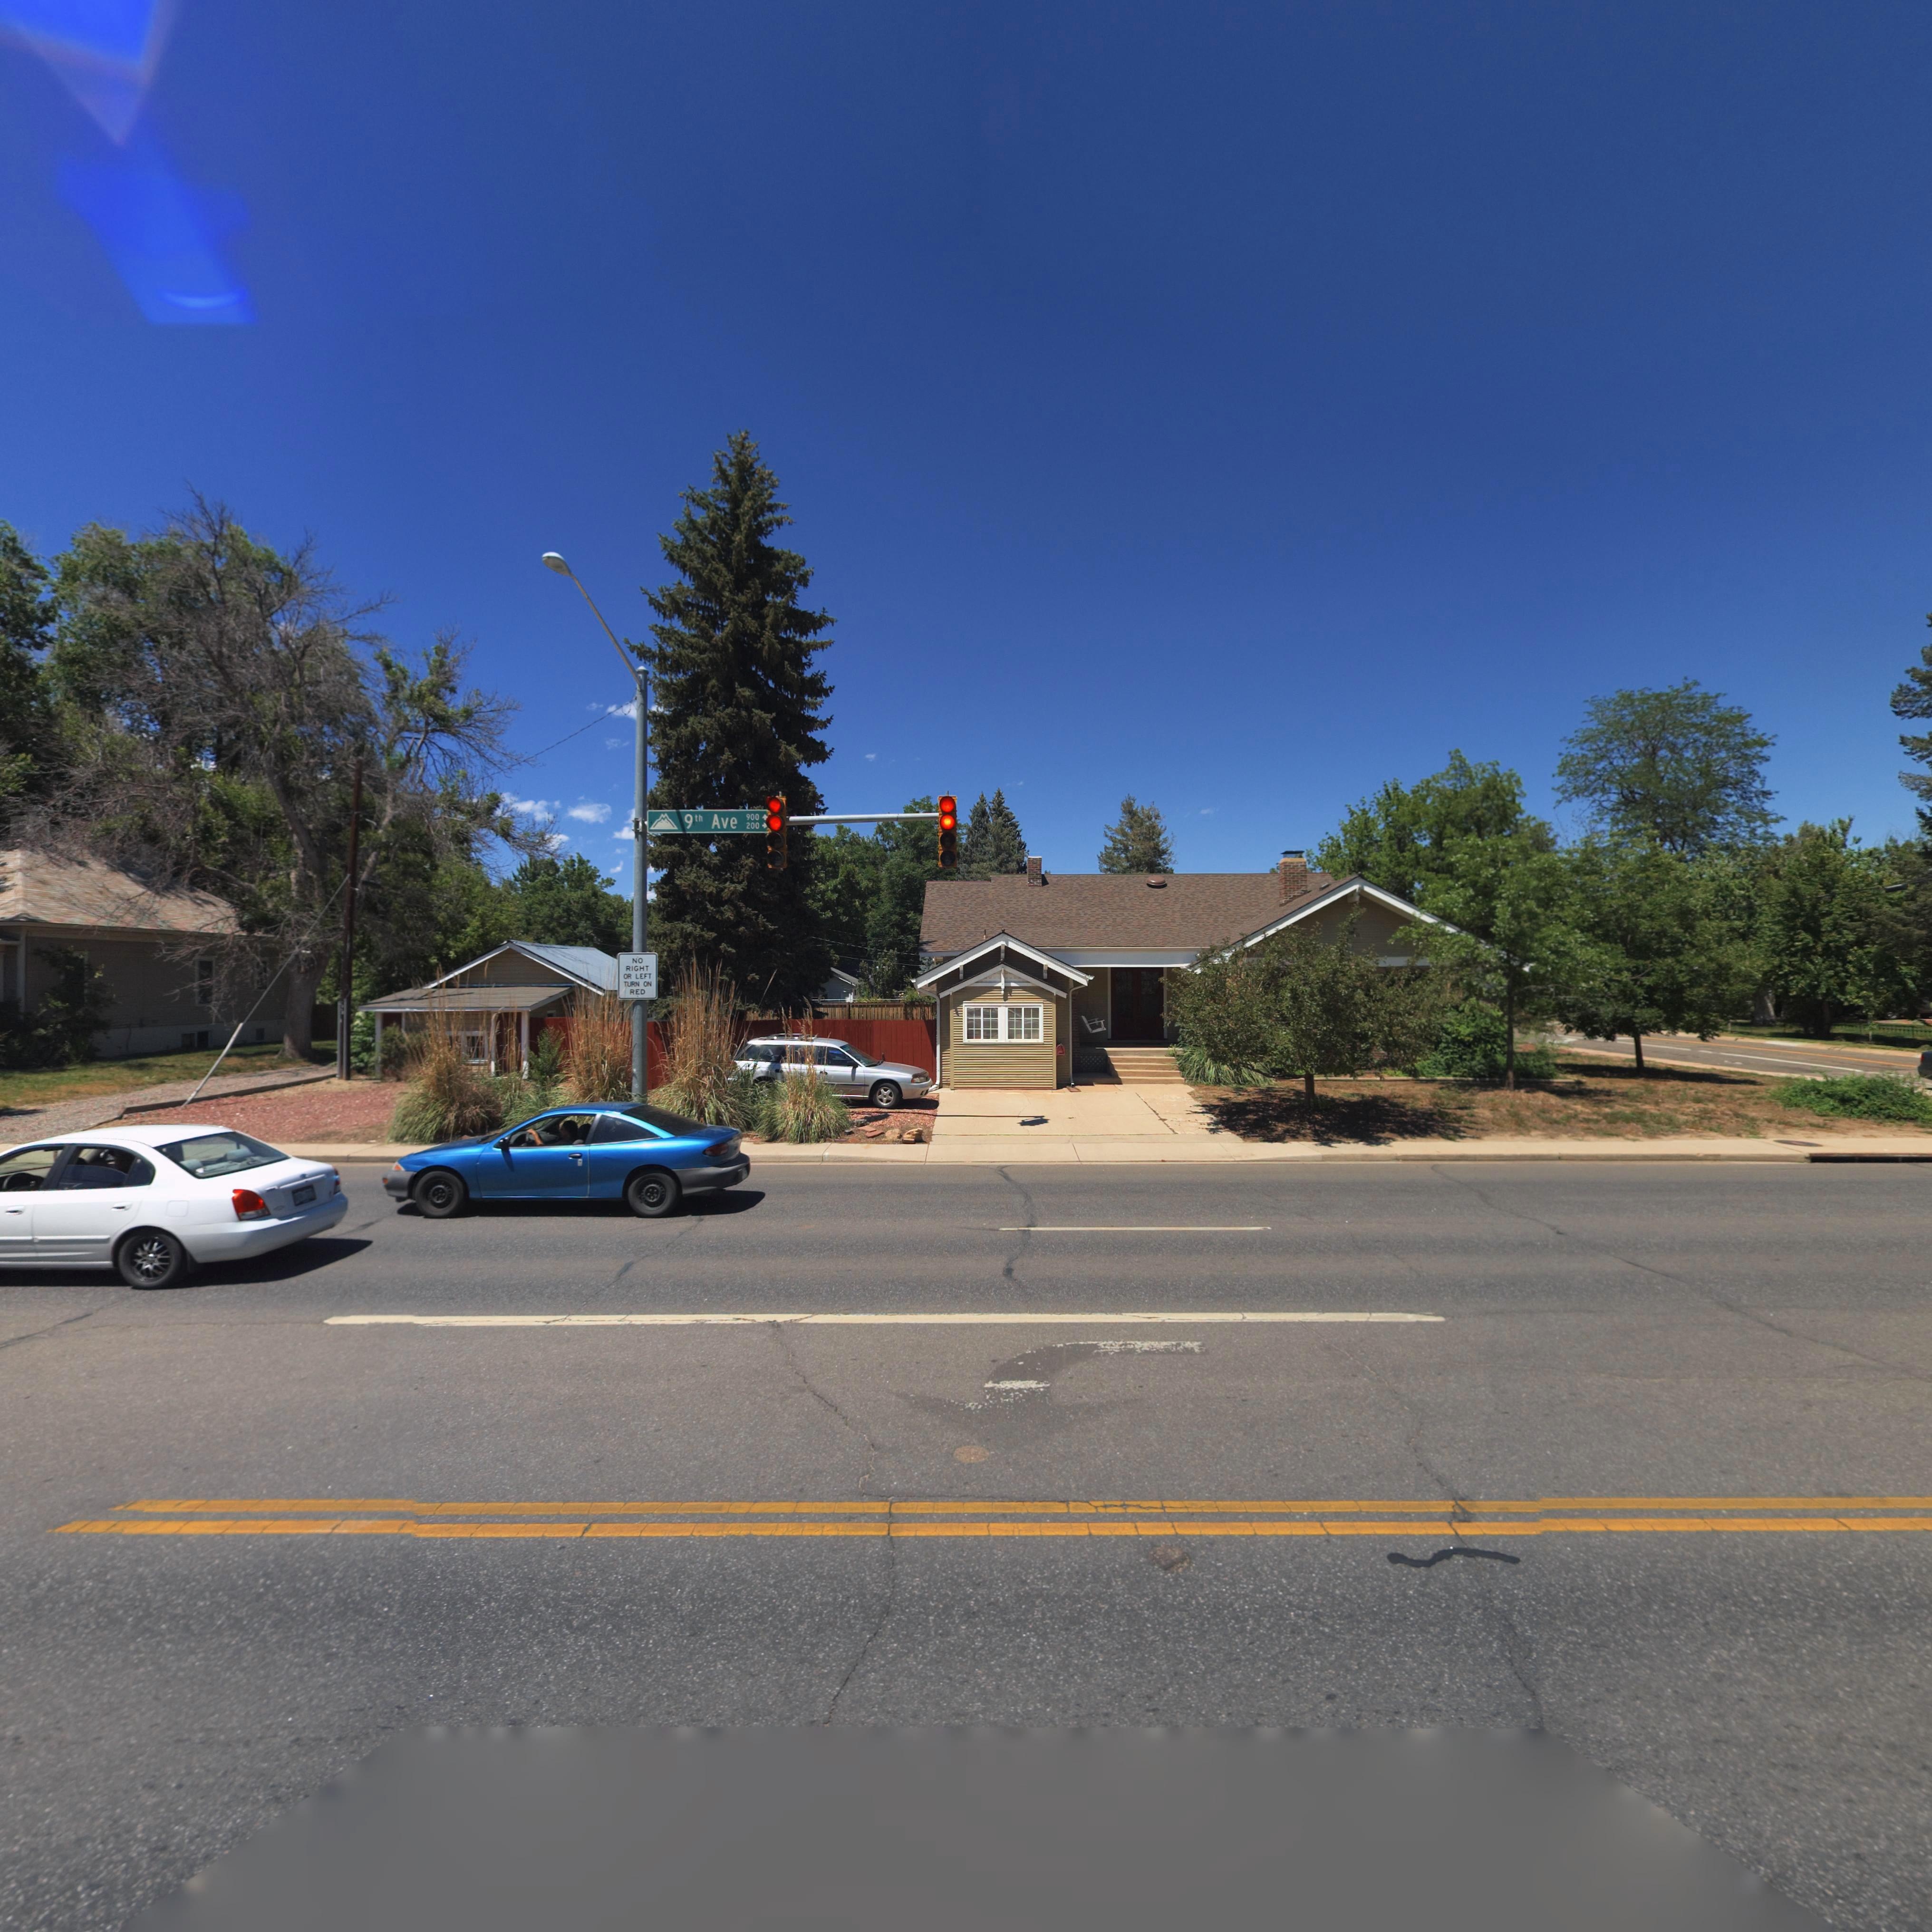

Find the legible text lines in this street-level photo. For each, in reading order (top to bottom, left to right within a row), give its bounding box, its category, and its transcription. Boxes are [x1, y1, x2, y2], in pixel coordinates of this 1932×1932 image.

[746, 813, 759, 821] StreetNumberRange: 900
[684, 813, 738, 829] StreetName: 9th Ave
[746, 821, 767, 829] StreetNumberRange: 200->